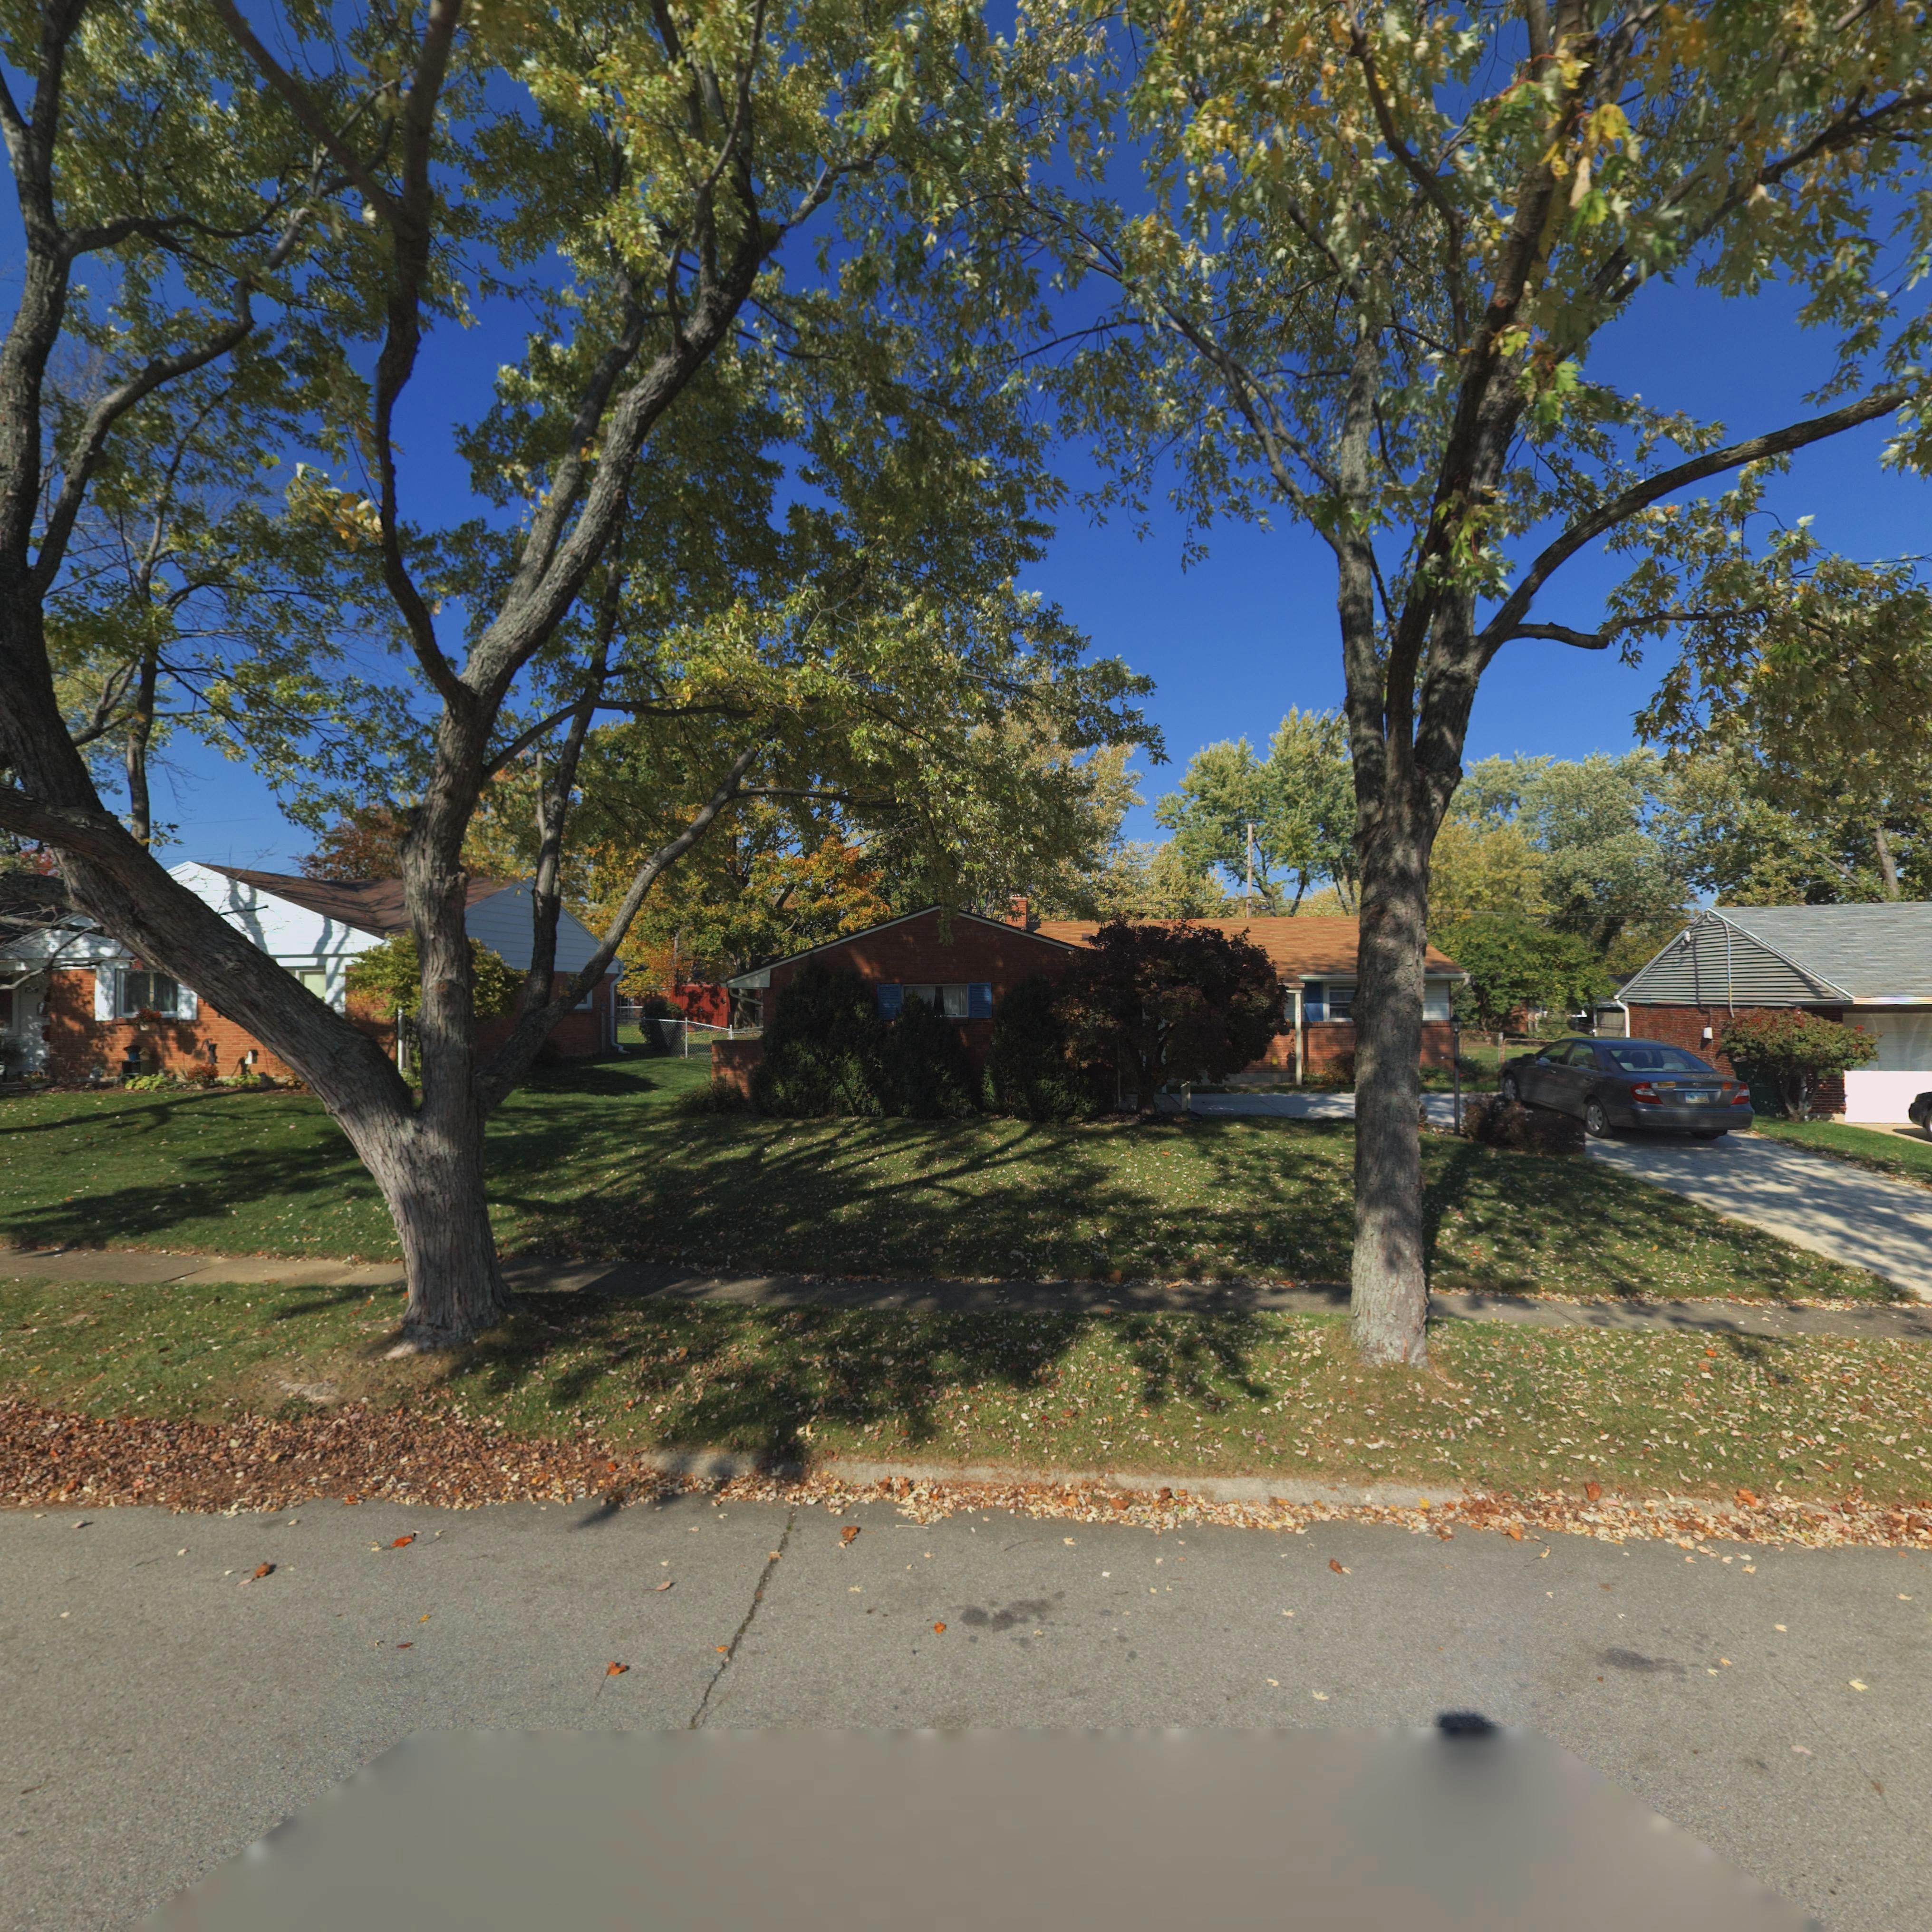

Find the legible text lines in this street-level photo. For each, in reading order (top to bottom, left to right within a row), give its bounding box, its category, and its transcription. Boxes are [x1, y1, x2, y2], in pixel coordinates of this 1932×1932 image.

[1296, 998, 1301, 1020] StreetNumber: 112*